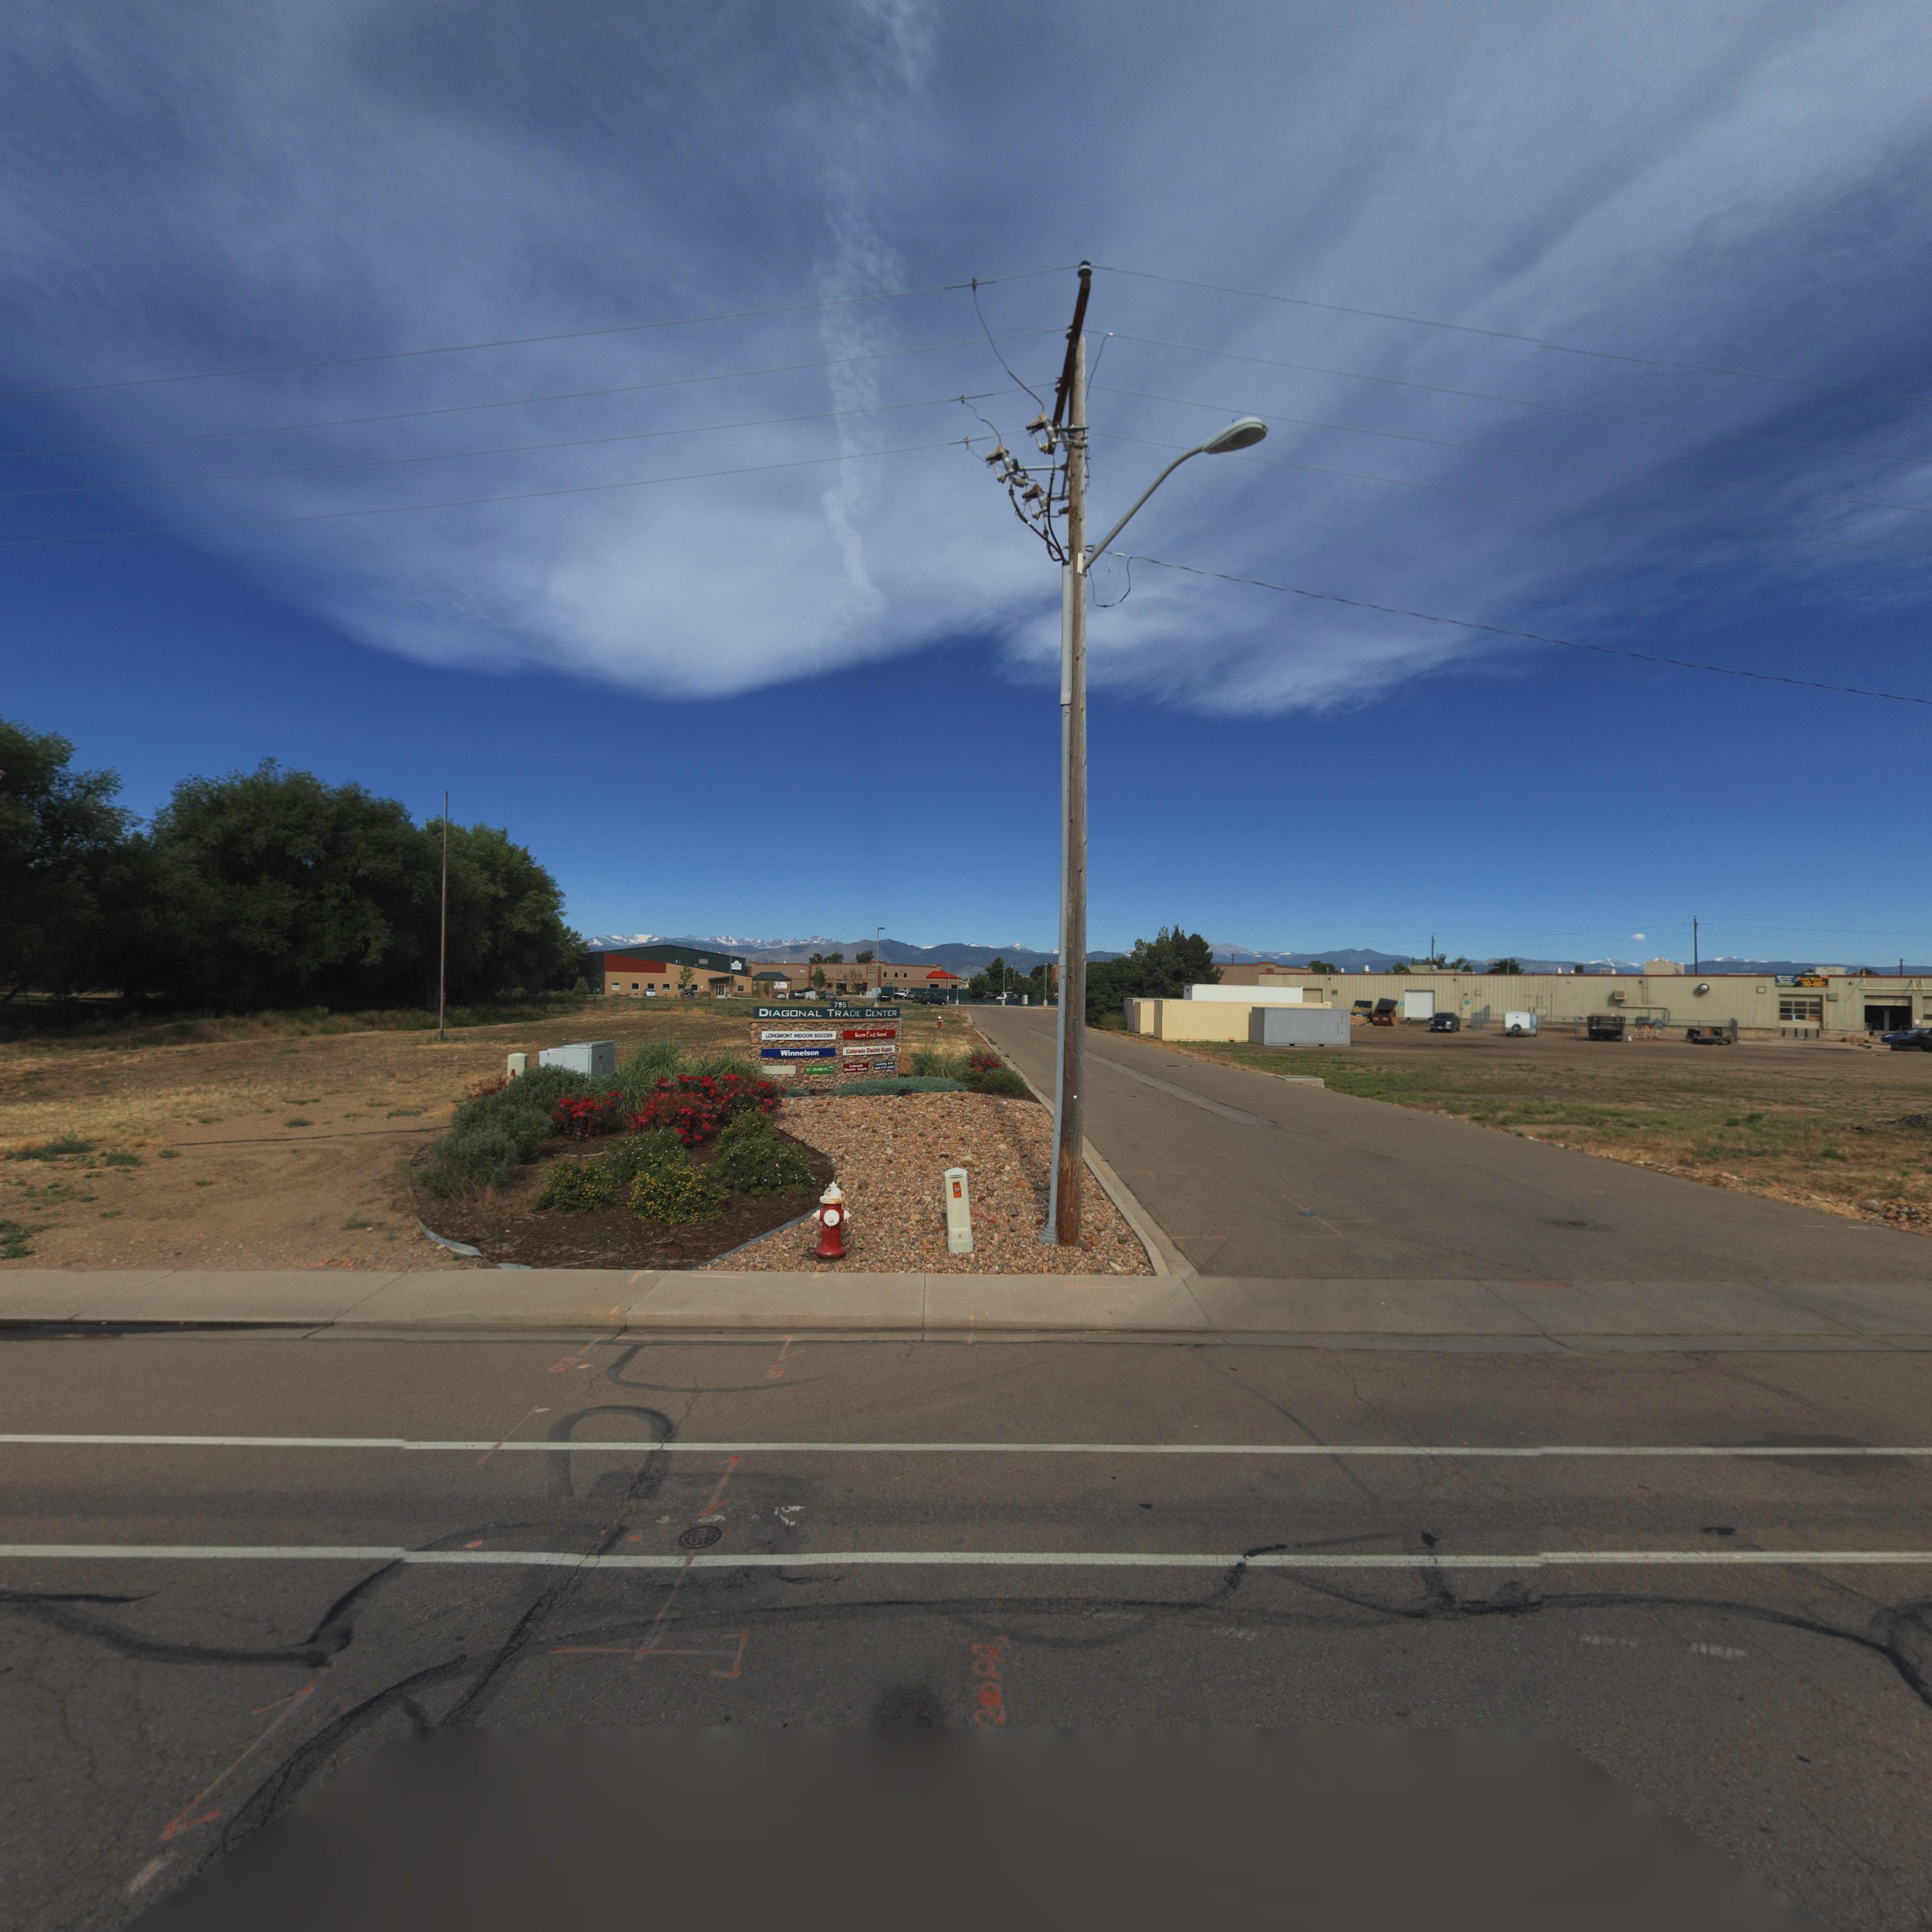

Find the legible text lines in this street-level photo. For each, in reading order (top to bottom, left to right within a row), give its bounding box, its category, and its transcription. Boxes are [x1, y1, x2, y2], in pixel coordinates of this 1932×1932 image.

[833, 1001, 846, 1008] StreetNumber: 795
[758, 1008, 897, 1017] BusinessName: DIAGONAL TRADE CENTER
[765, 1033, 832, 1037] BusinessName: LONGMONT INDOOR SOCCER
[780, 1049, 819, 1056] BusinessName: Winnelson
[845, 1047, 892, 1053] BusinessName: Colorado Electric Supply
[806, 1067, 810, 1072] BusinessName: ST